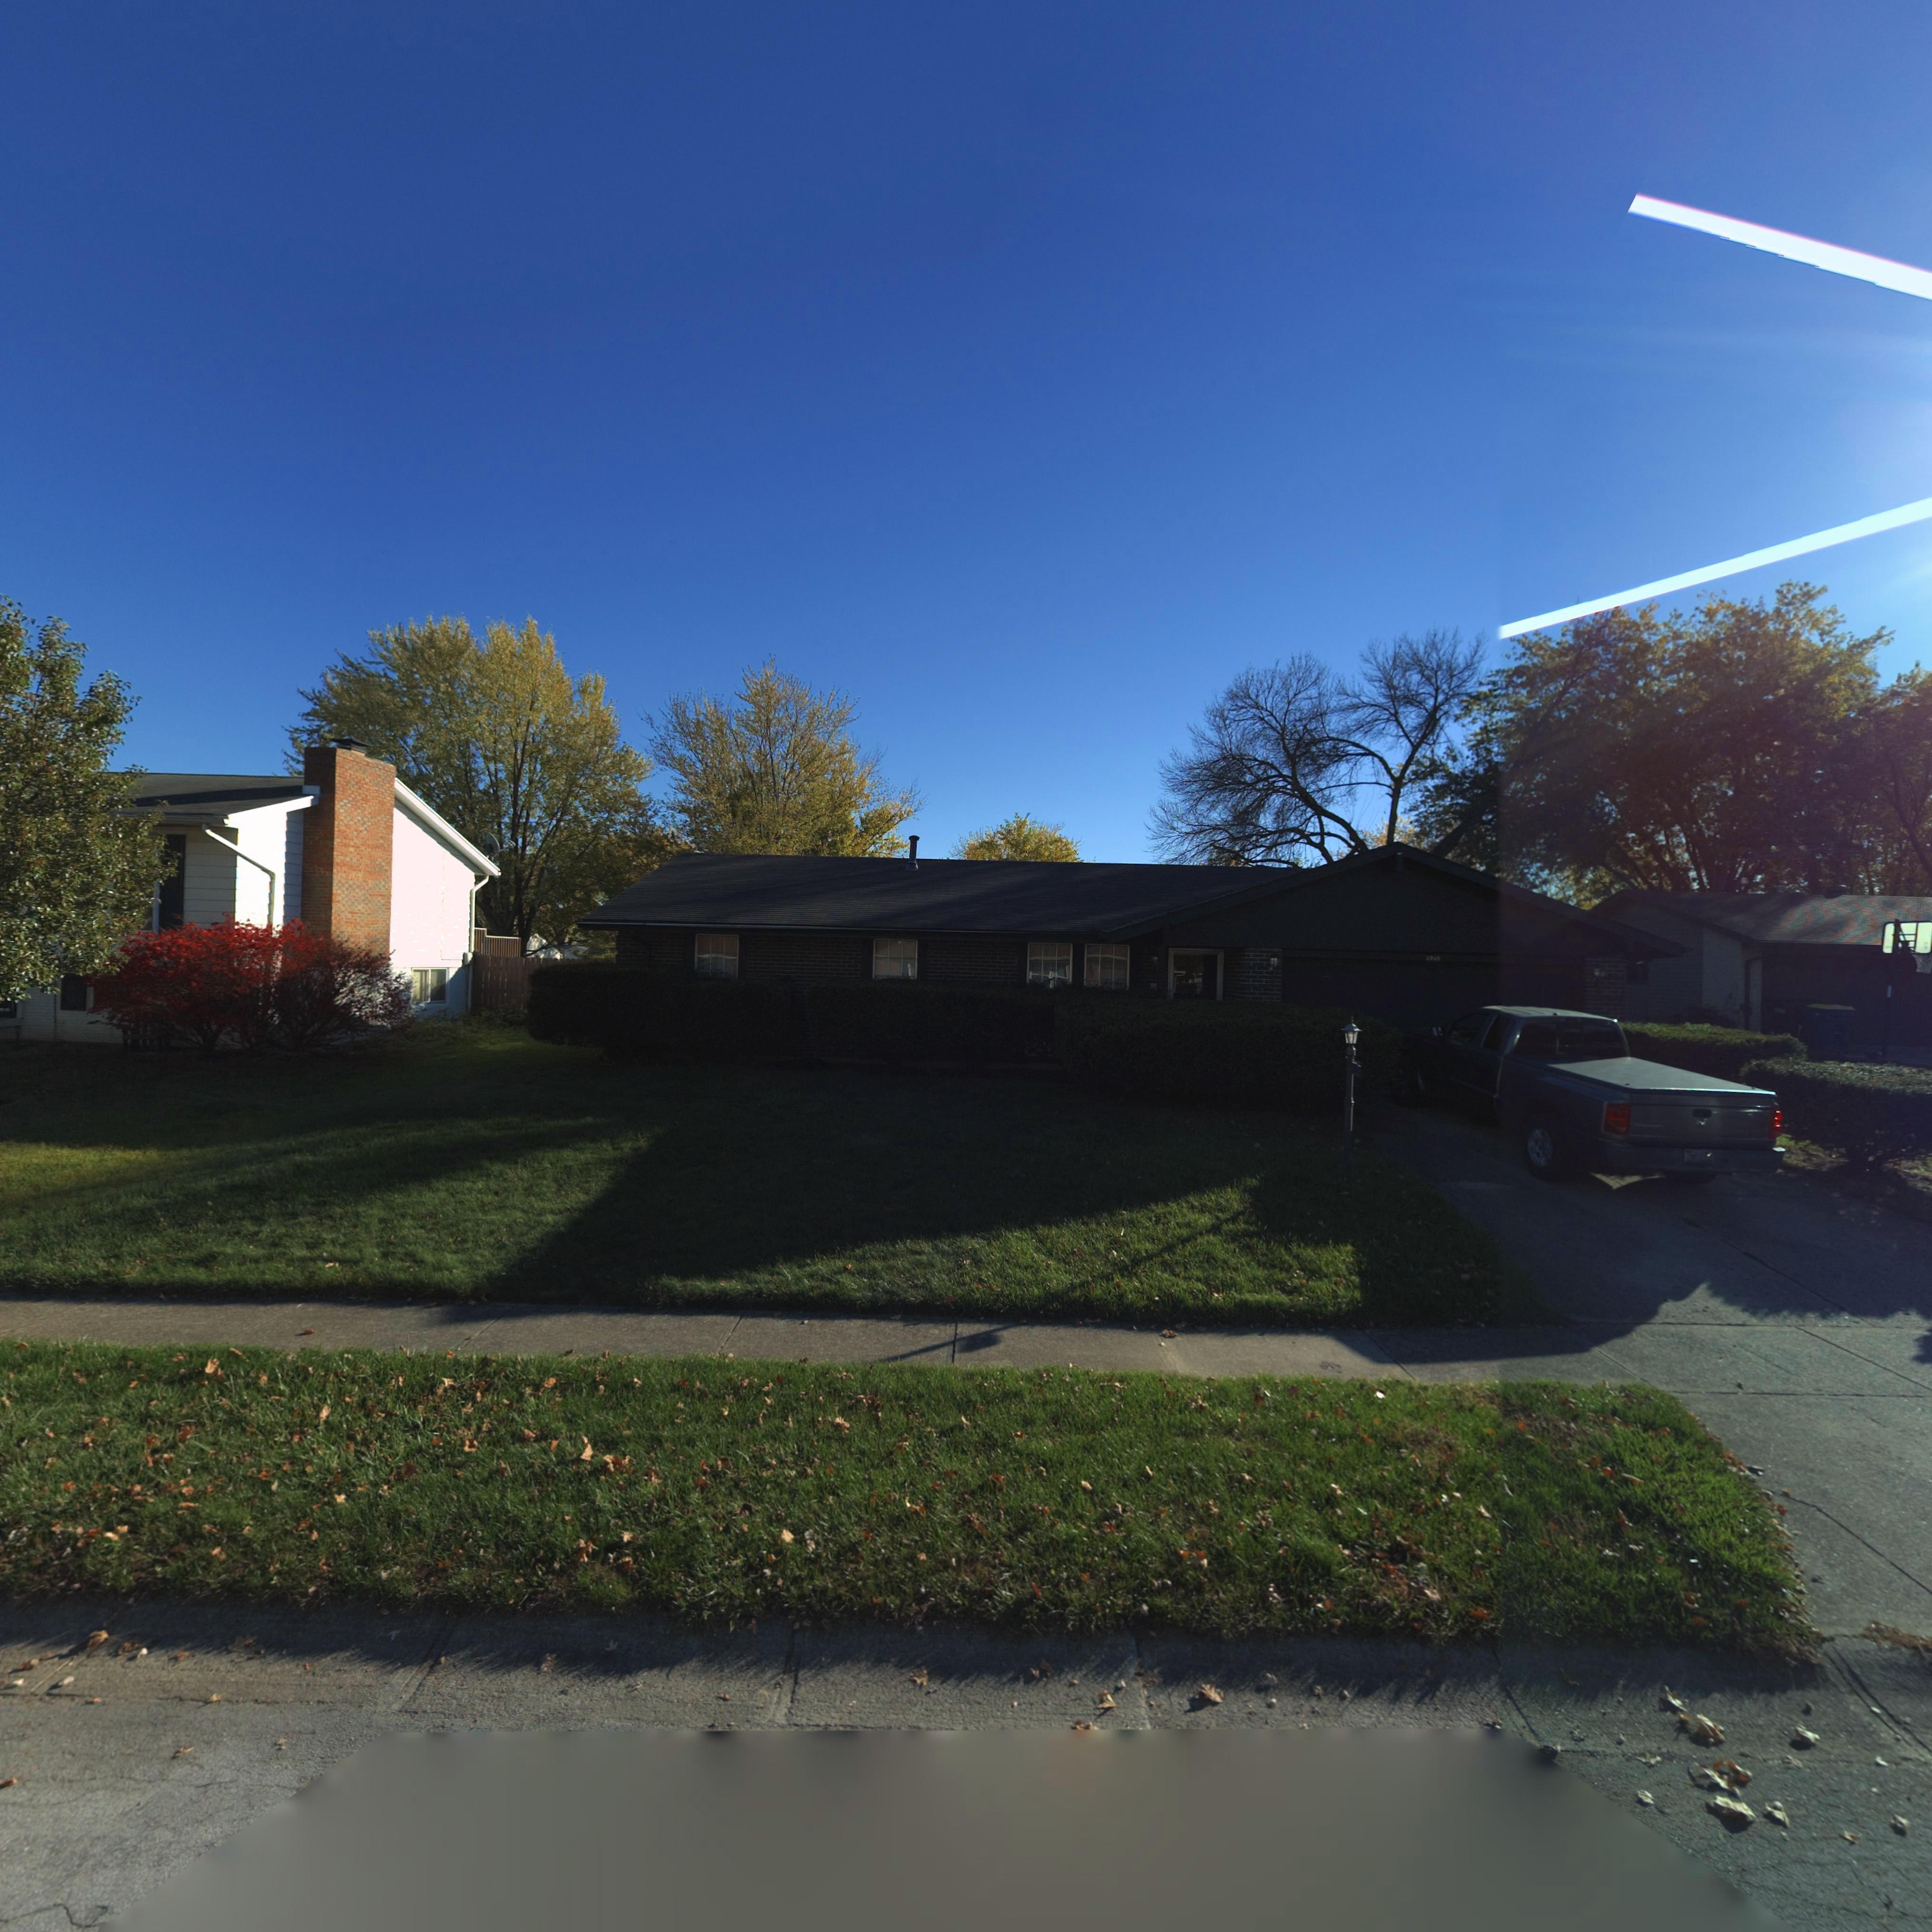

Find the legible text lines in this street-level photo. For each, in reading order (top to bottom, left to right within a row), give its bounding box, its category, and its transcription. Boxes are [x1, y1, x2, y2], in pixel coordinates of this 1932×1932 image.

[1425, 955, 1441, 961] StreetNumber: 49*0